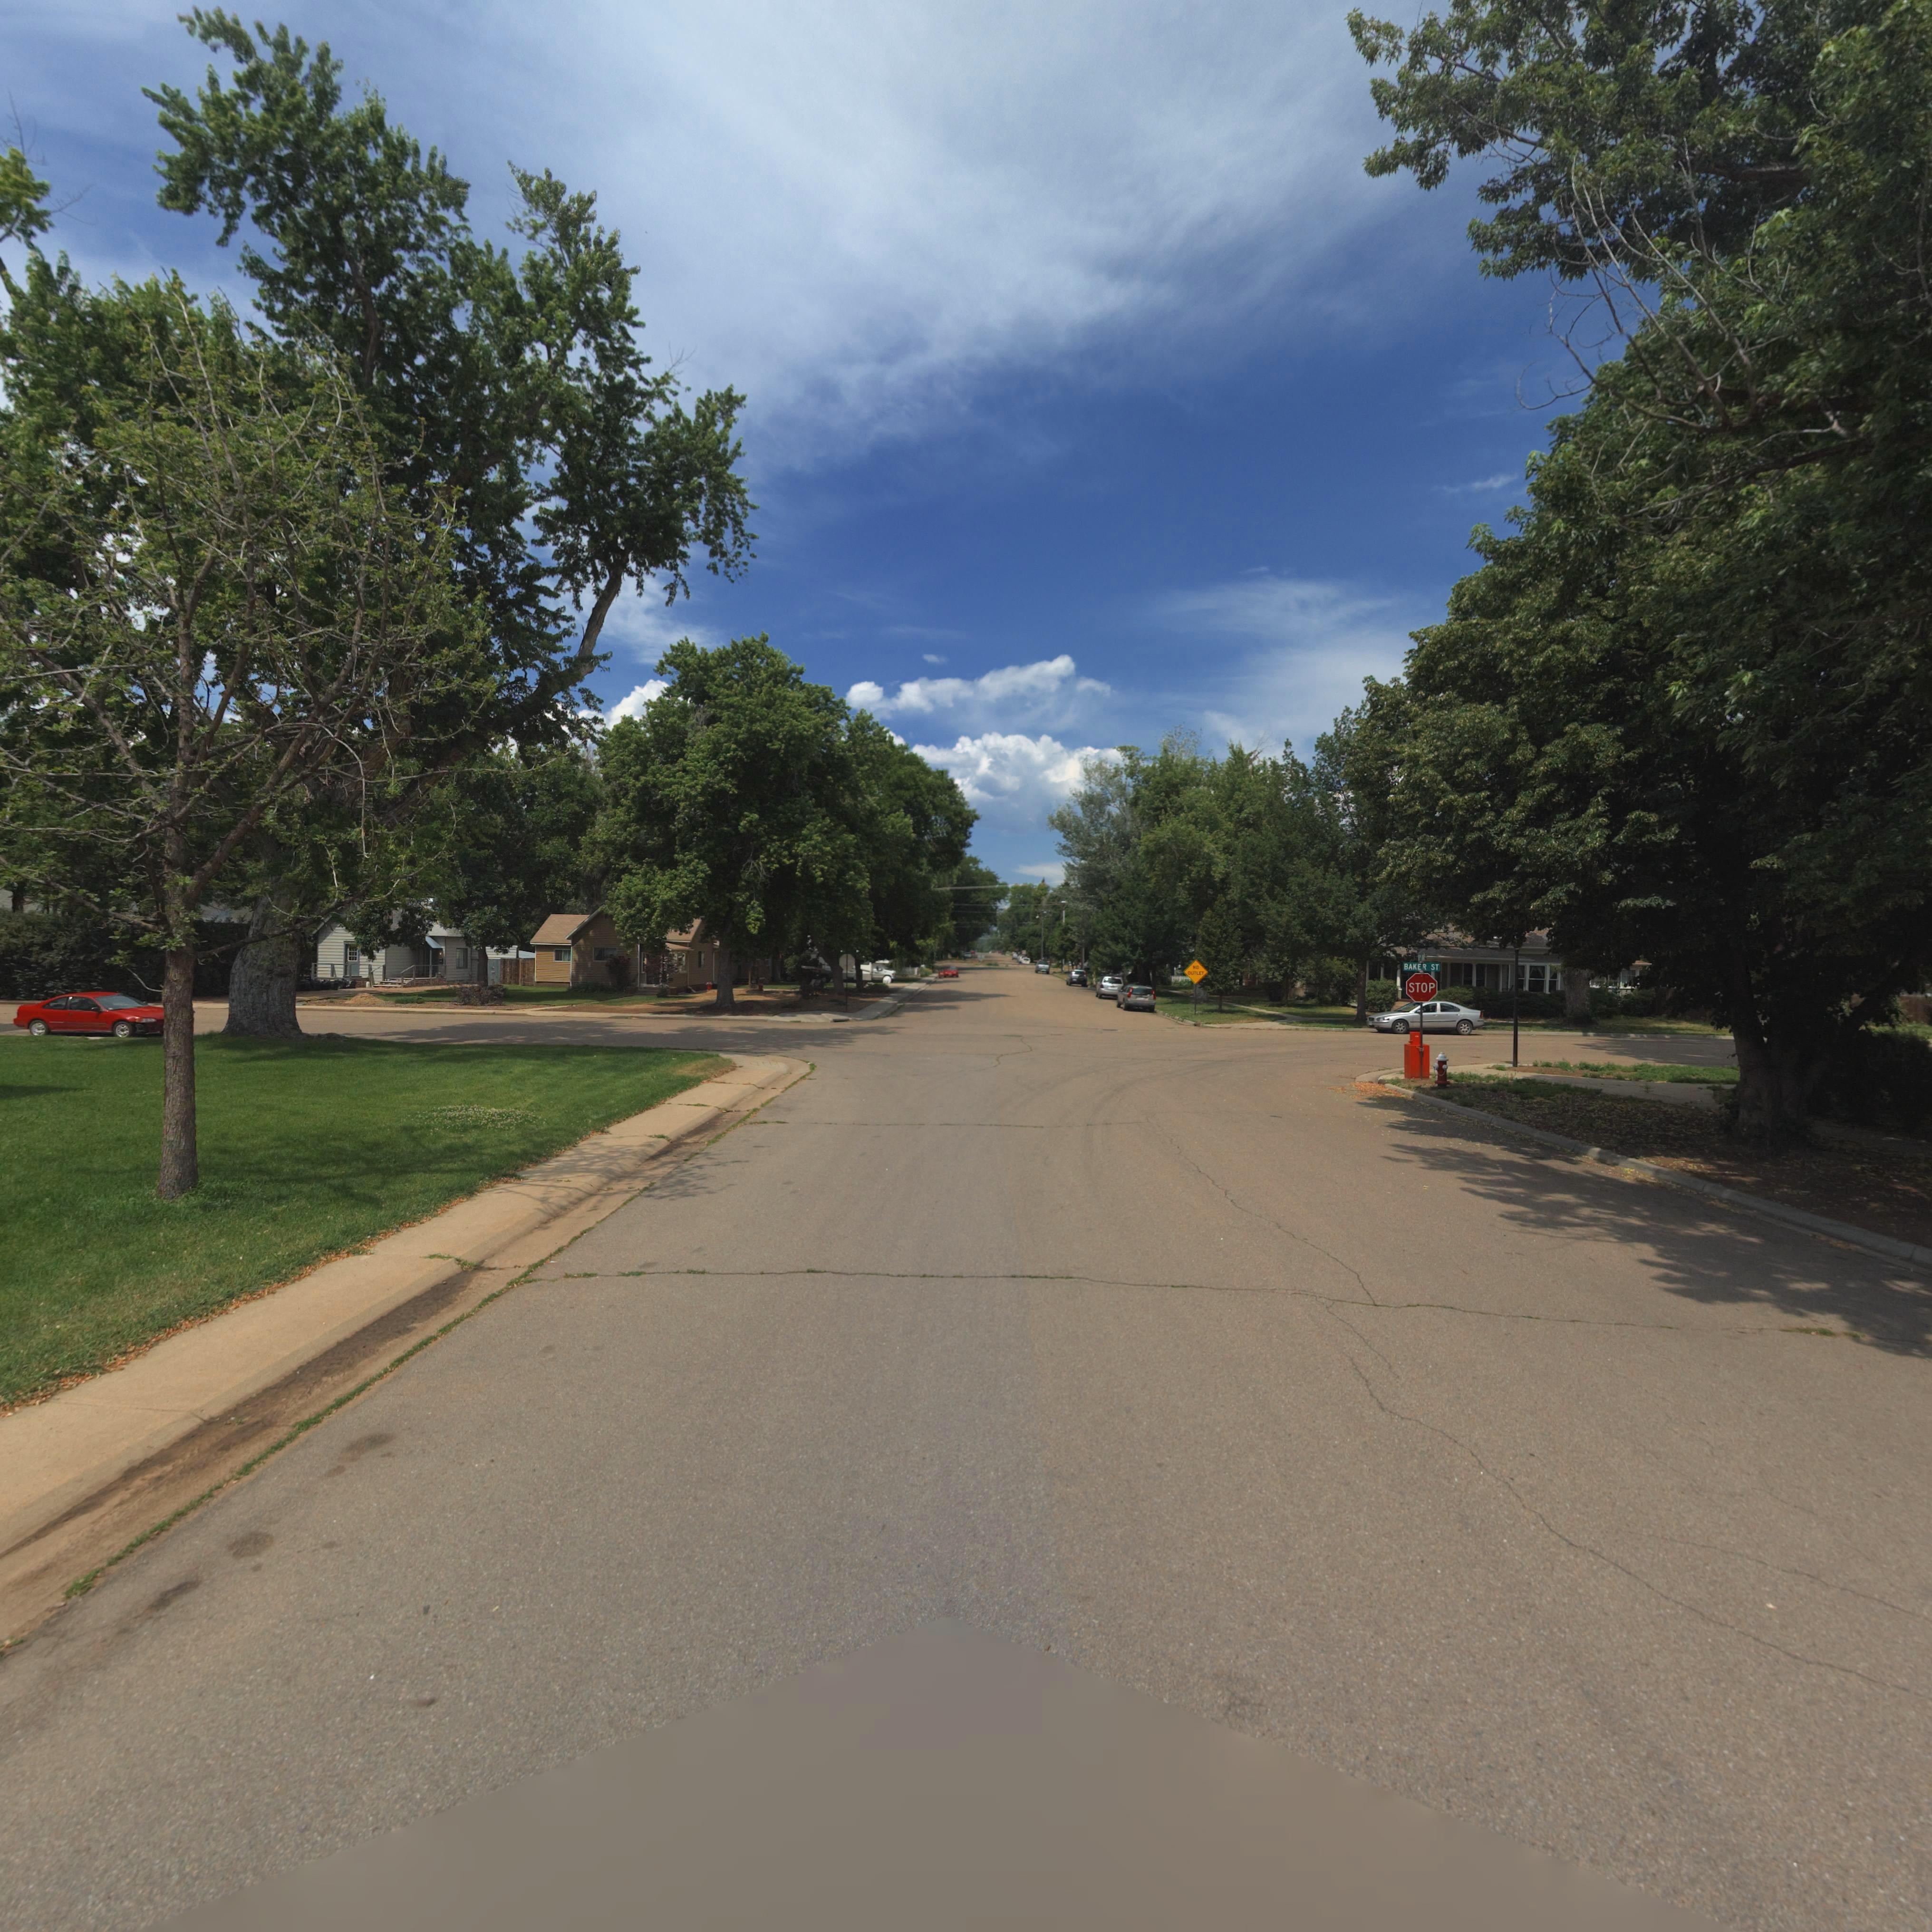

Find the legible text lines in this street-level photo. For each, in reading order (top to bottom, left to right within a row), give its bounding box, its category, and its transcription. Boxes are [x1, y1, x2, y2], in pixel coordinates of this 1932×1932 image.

[1404, 963, 1439, 970] StreetName: BAKER ST